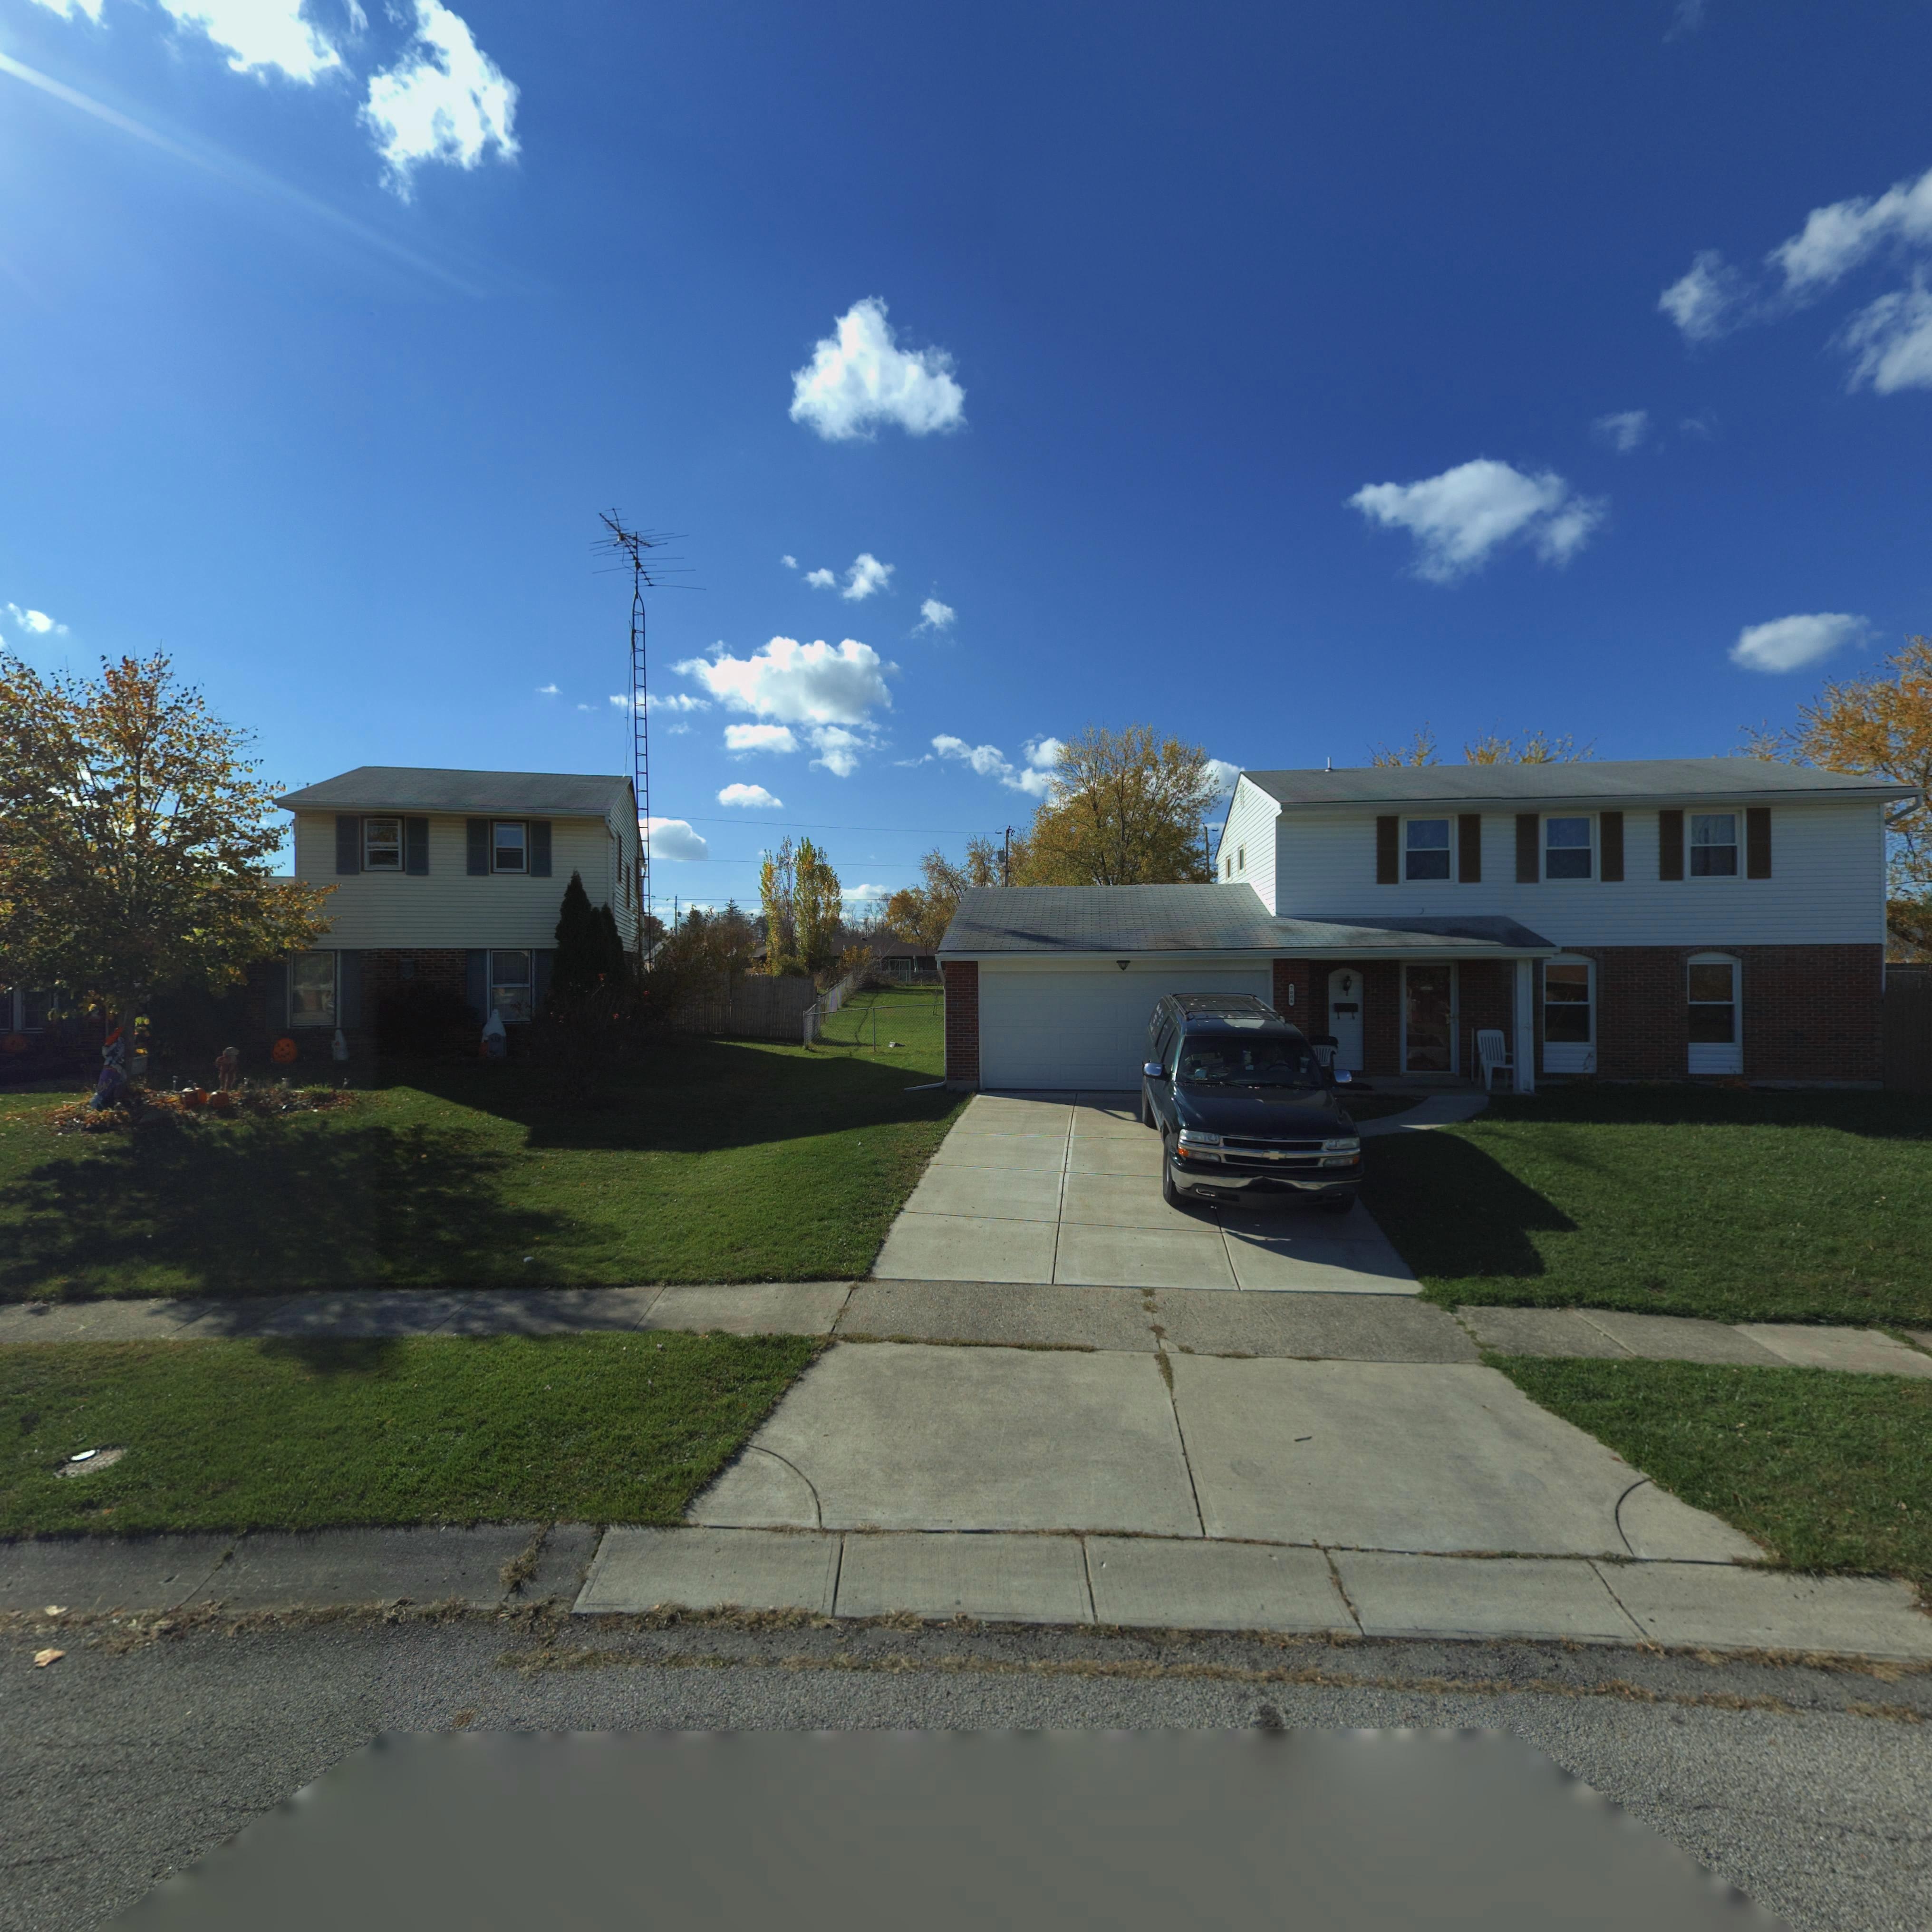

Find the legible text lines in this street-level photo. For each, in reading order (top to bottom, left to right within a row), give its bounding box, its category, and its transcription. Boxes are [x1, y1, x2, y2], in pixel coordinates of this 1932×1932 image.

[1288, 985, 1295, 1005] StreetNumber: 700*